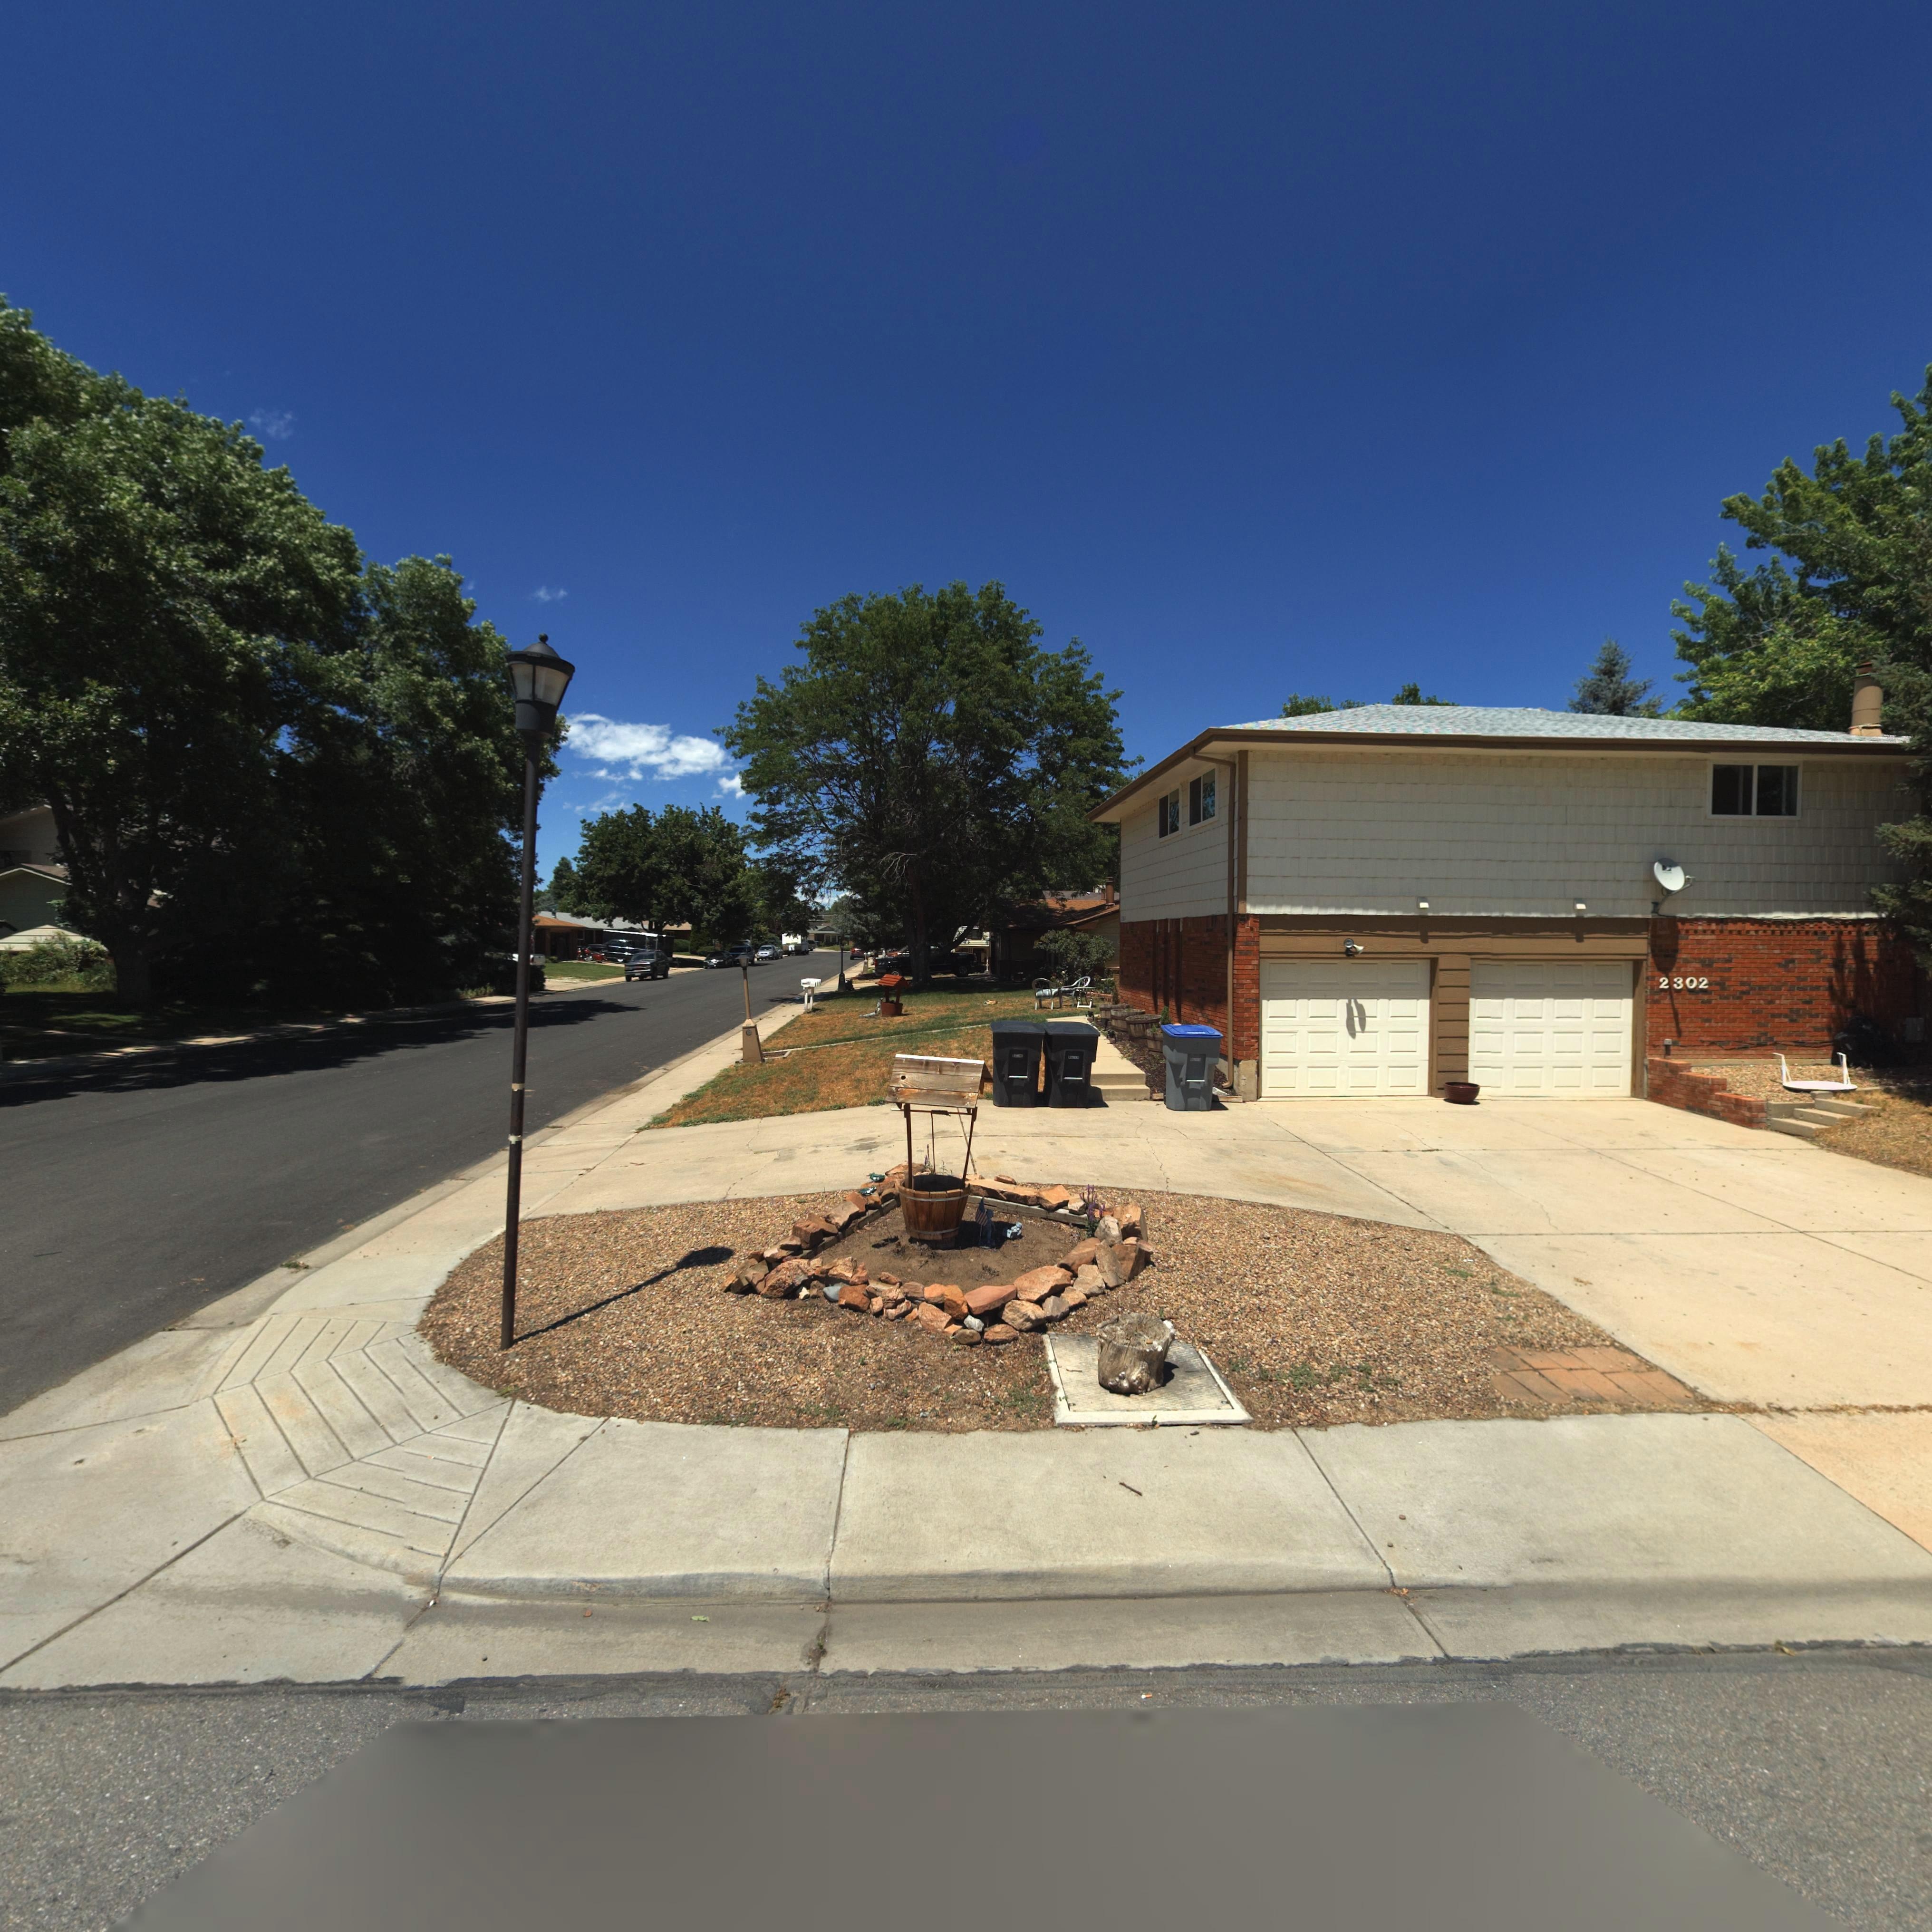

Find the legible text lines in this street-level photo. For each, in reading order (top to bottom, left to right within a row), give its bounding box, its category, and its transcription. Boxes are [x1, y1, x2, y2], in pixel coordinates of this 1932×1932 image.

[1658, 977, 1708, 989] StreetNumber: 2302